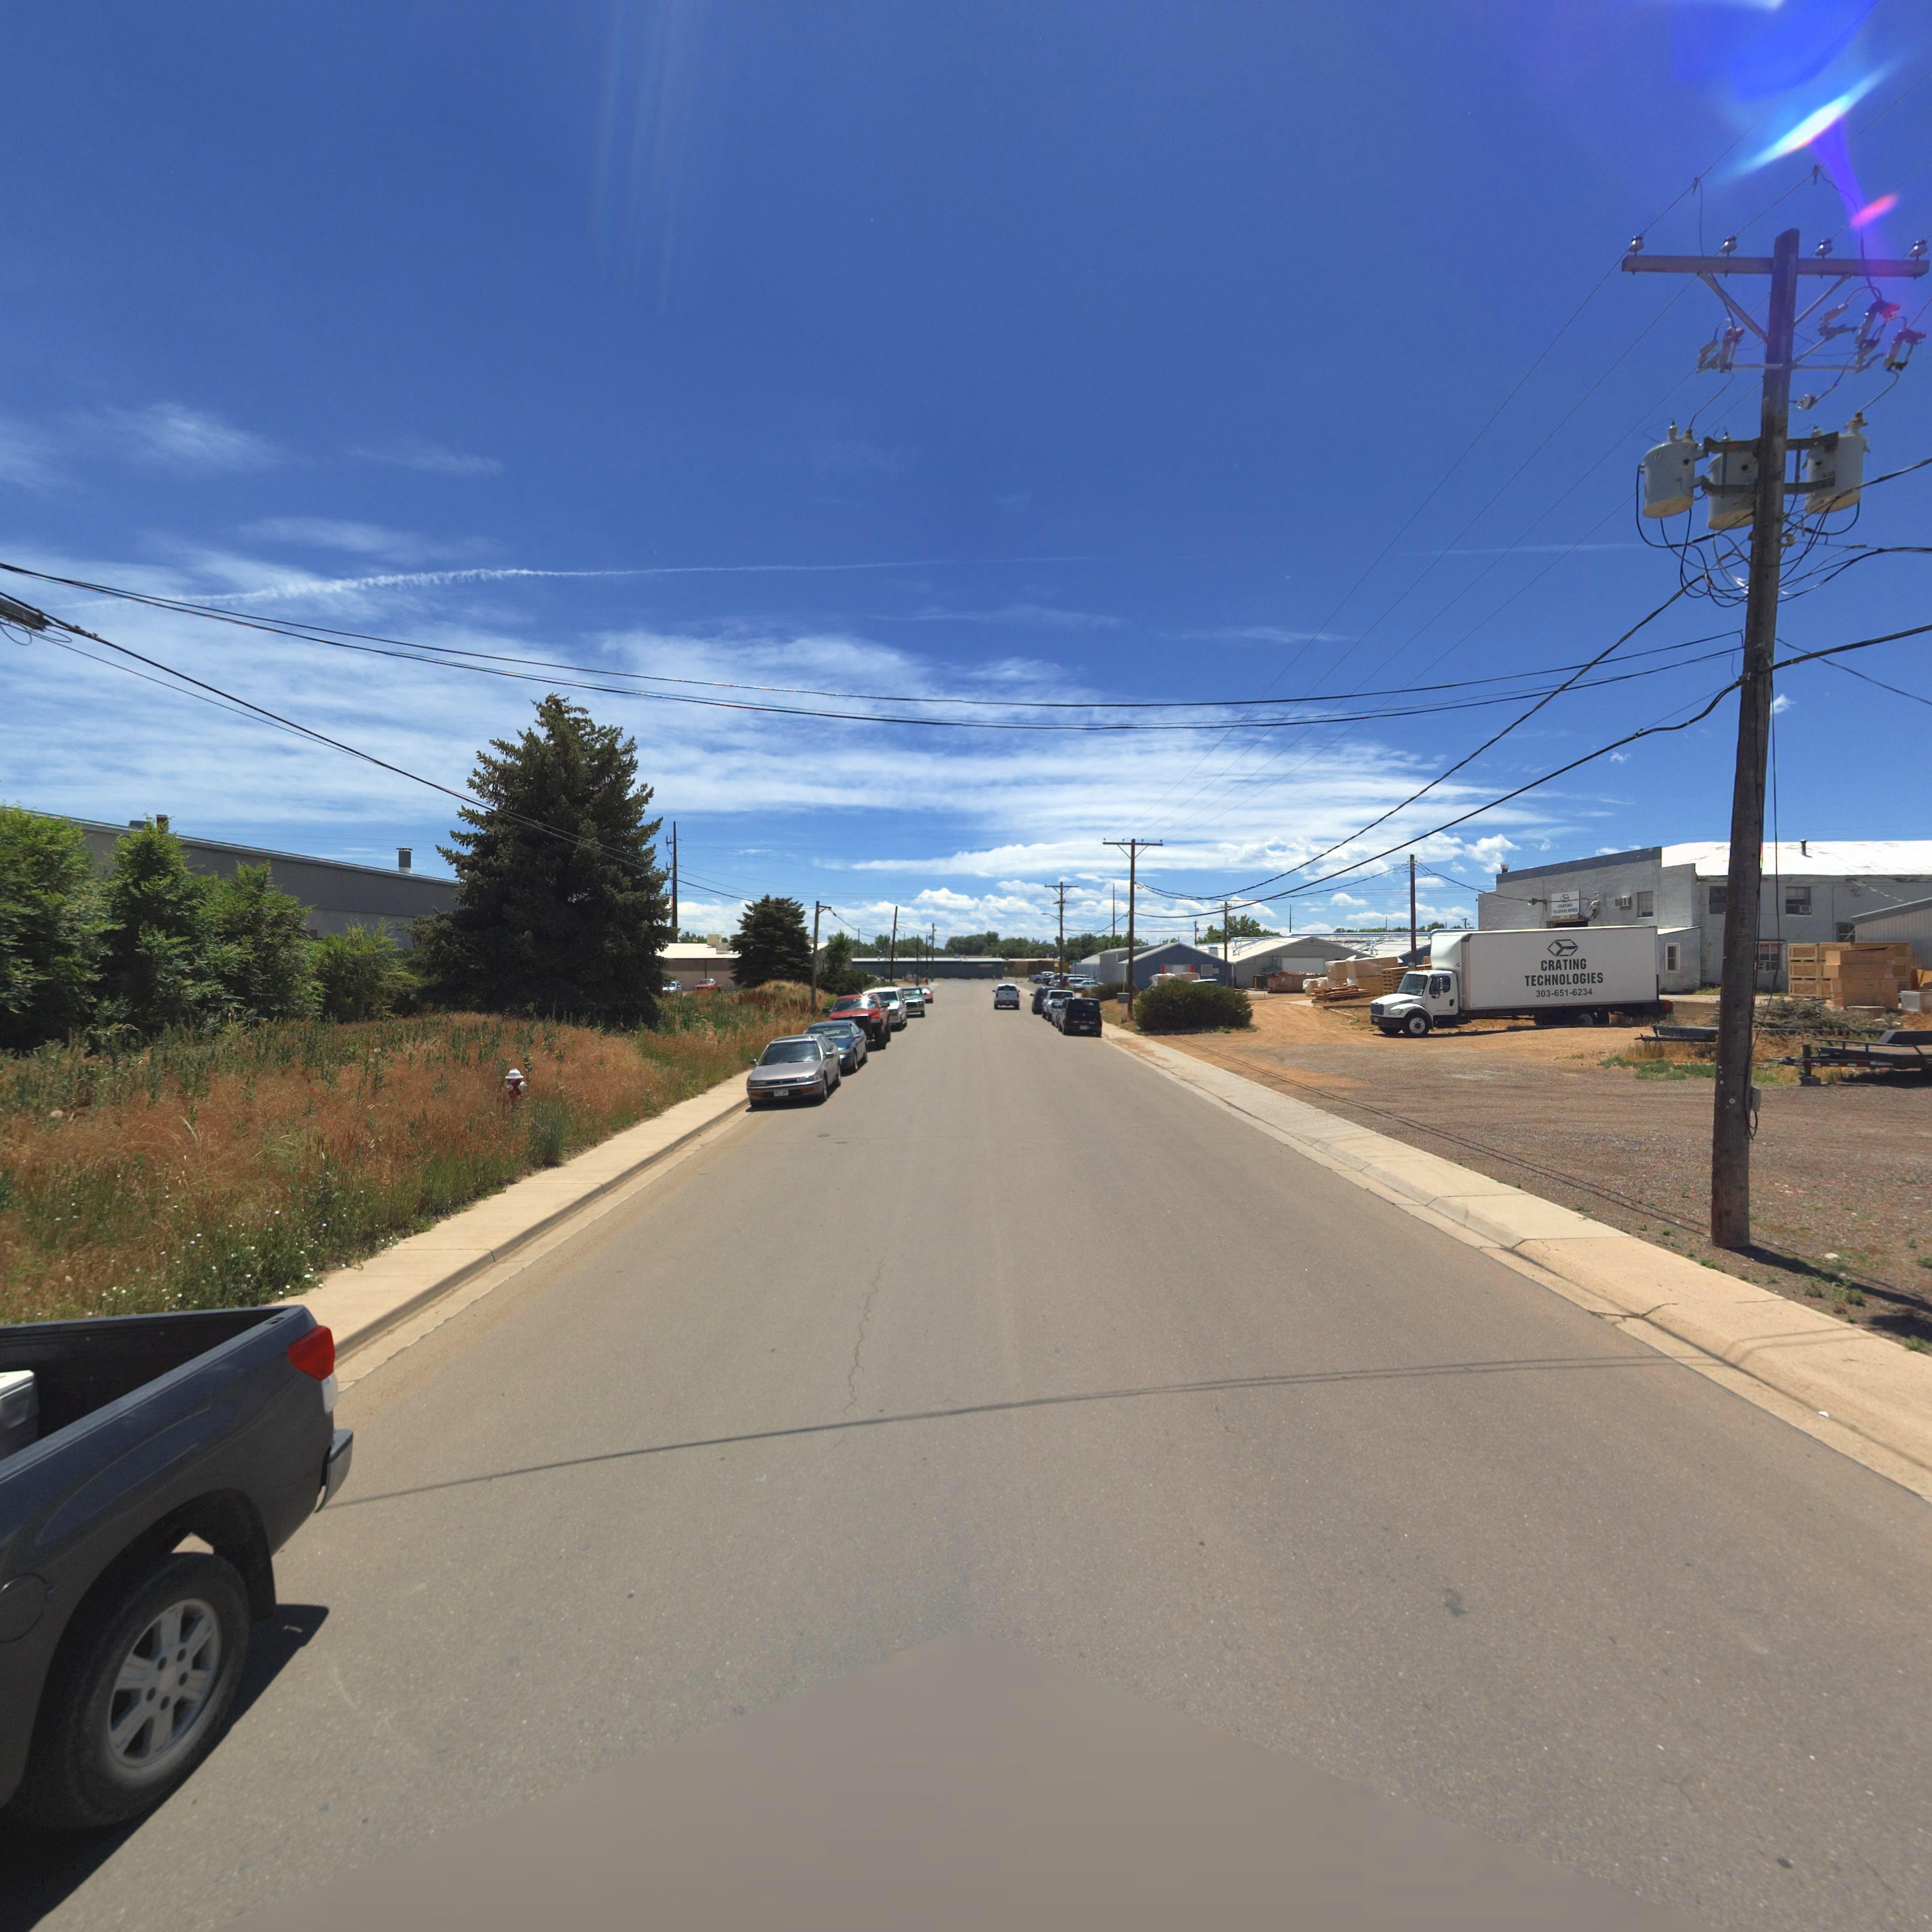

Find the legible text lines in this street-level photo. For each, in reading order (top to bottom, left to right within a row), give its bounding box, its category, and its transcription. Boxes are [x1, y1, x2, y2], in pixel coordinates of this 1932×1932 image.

[1557, 902, 1573, 908] BusinessName: C*A***G
[1552, 907, 1578, 914] BusinessName: TEC***LO**ES